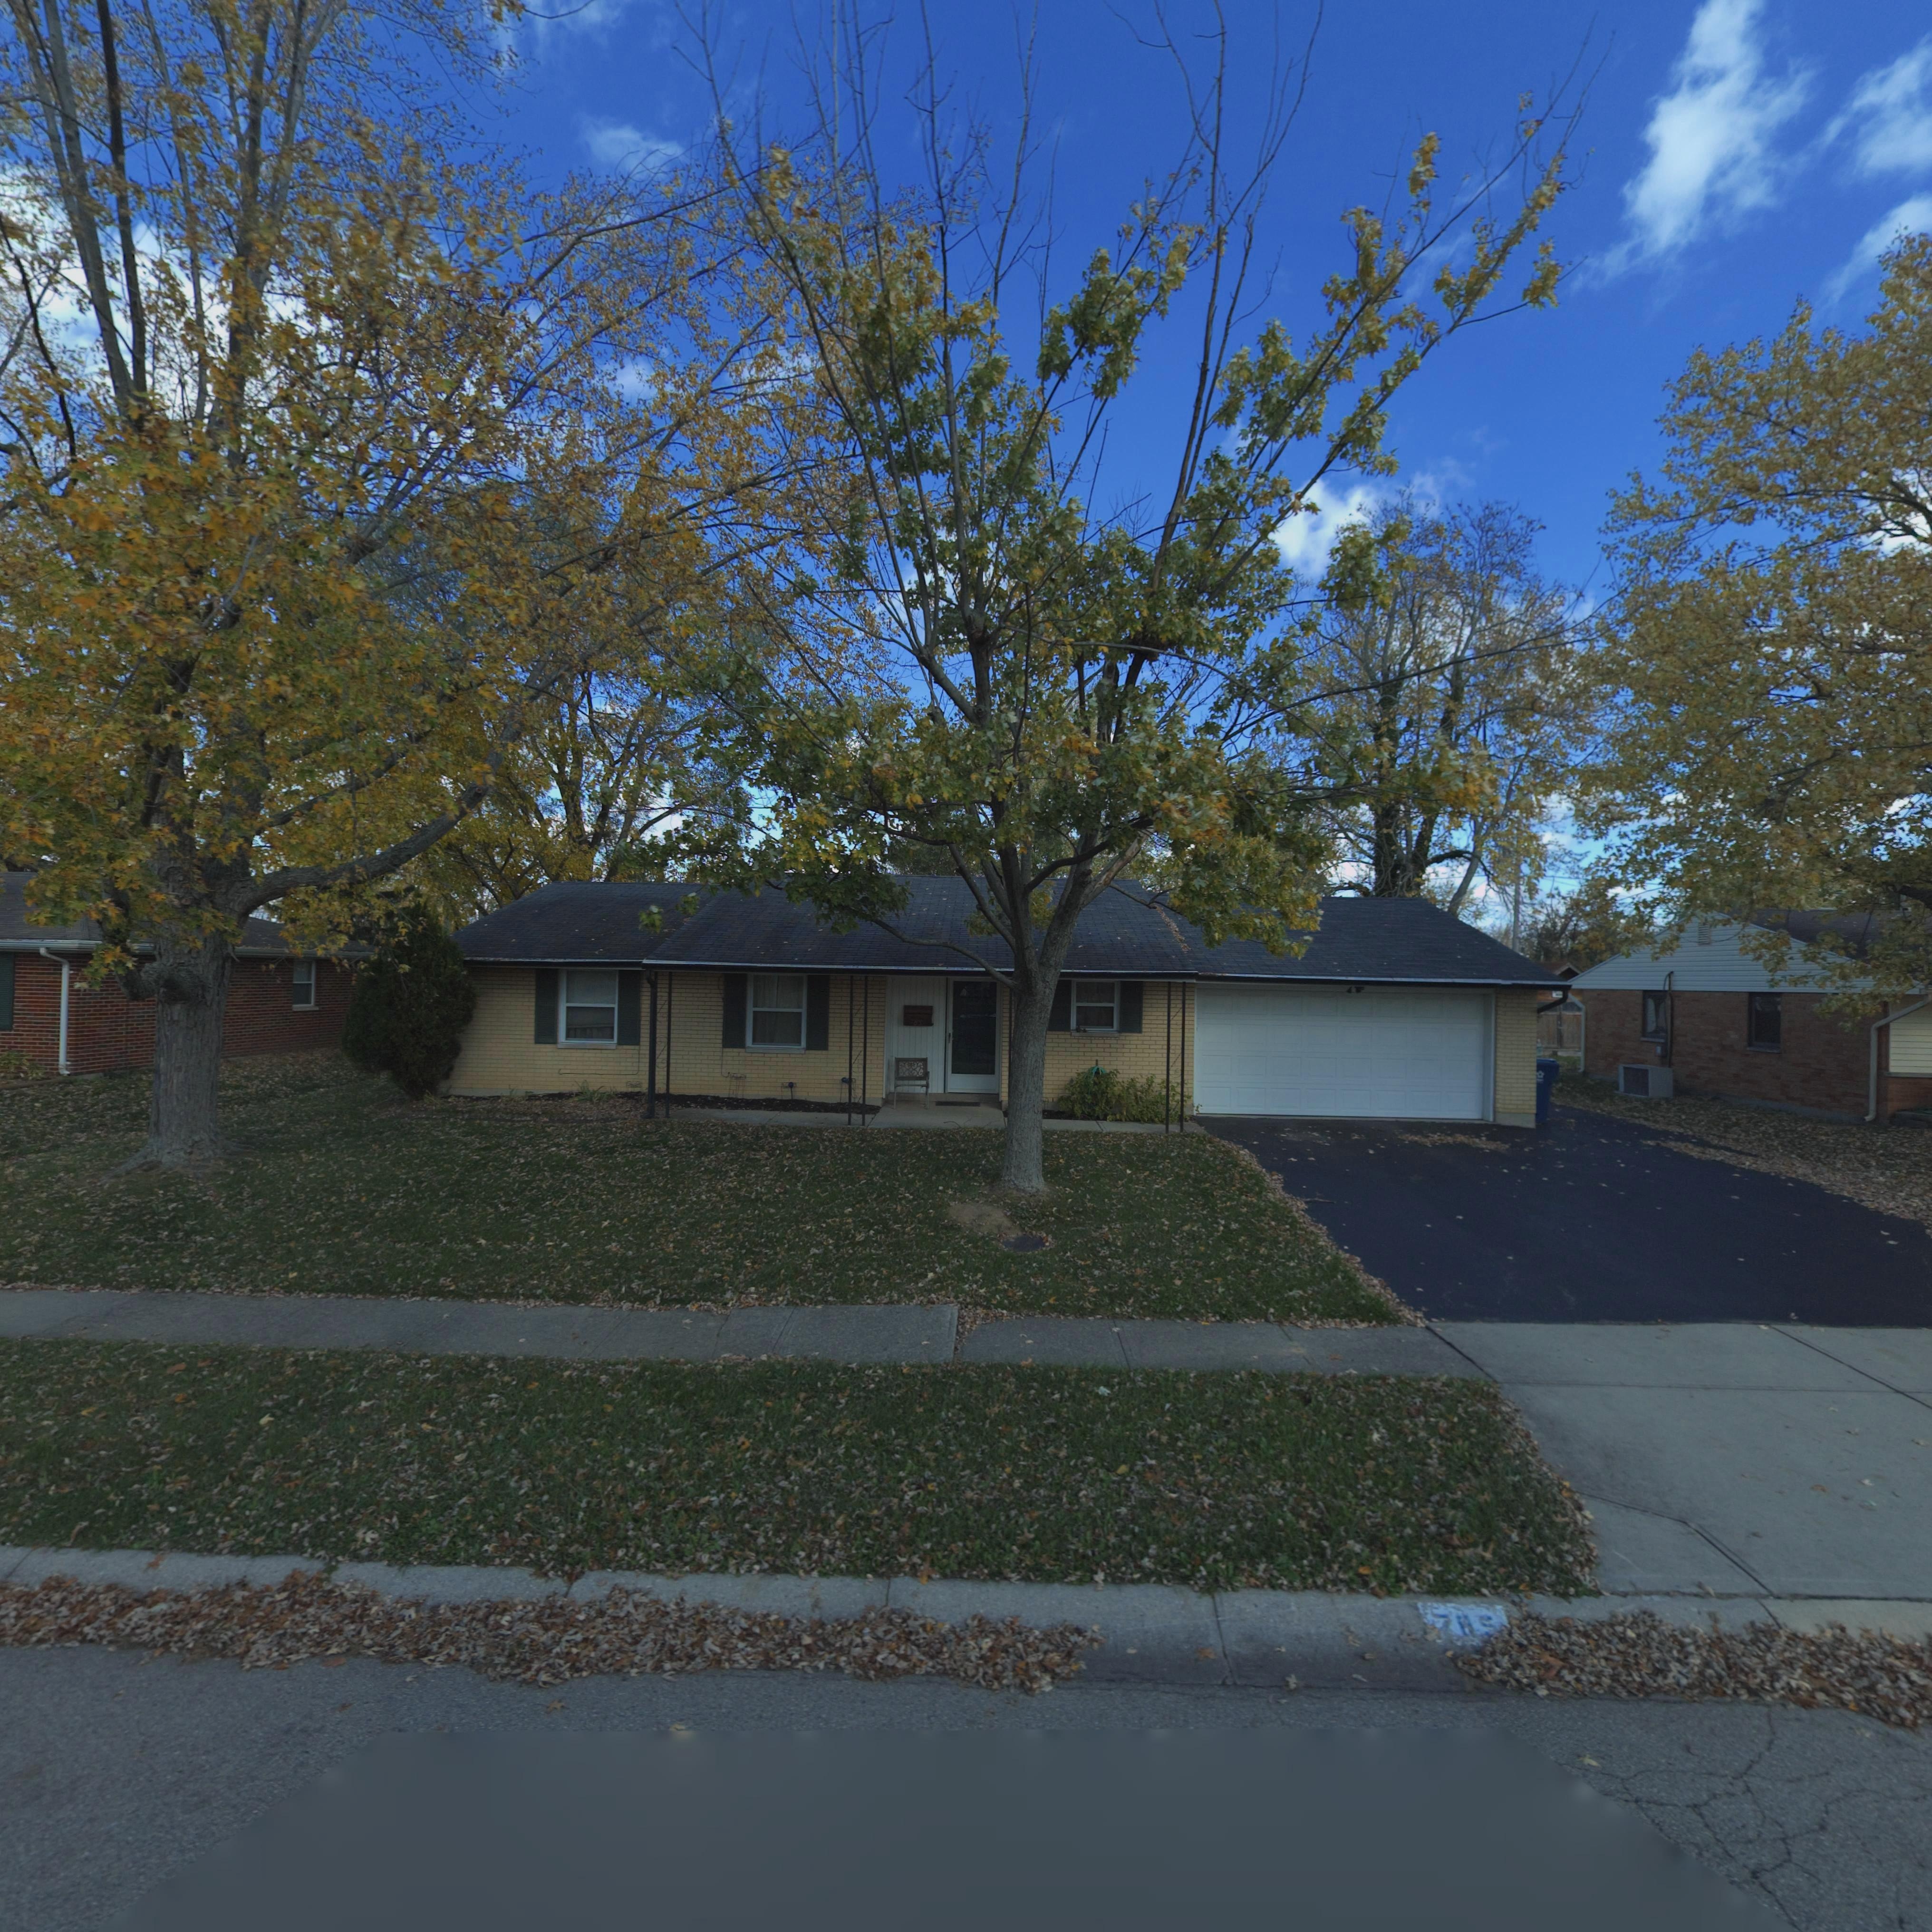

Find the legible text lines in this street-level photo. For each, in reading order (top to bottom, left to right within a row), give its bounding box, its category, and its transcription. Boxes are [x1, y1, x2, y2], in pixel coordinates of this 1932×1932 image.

[913, 1019, 924, 1026] StreetNumber: 85
[1429, 1612, 1502, 1638] StreetNumber: 785